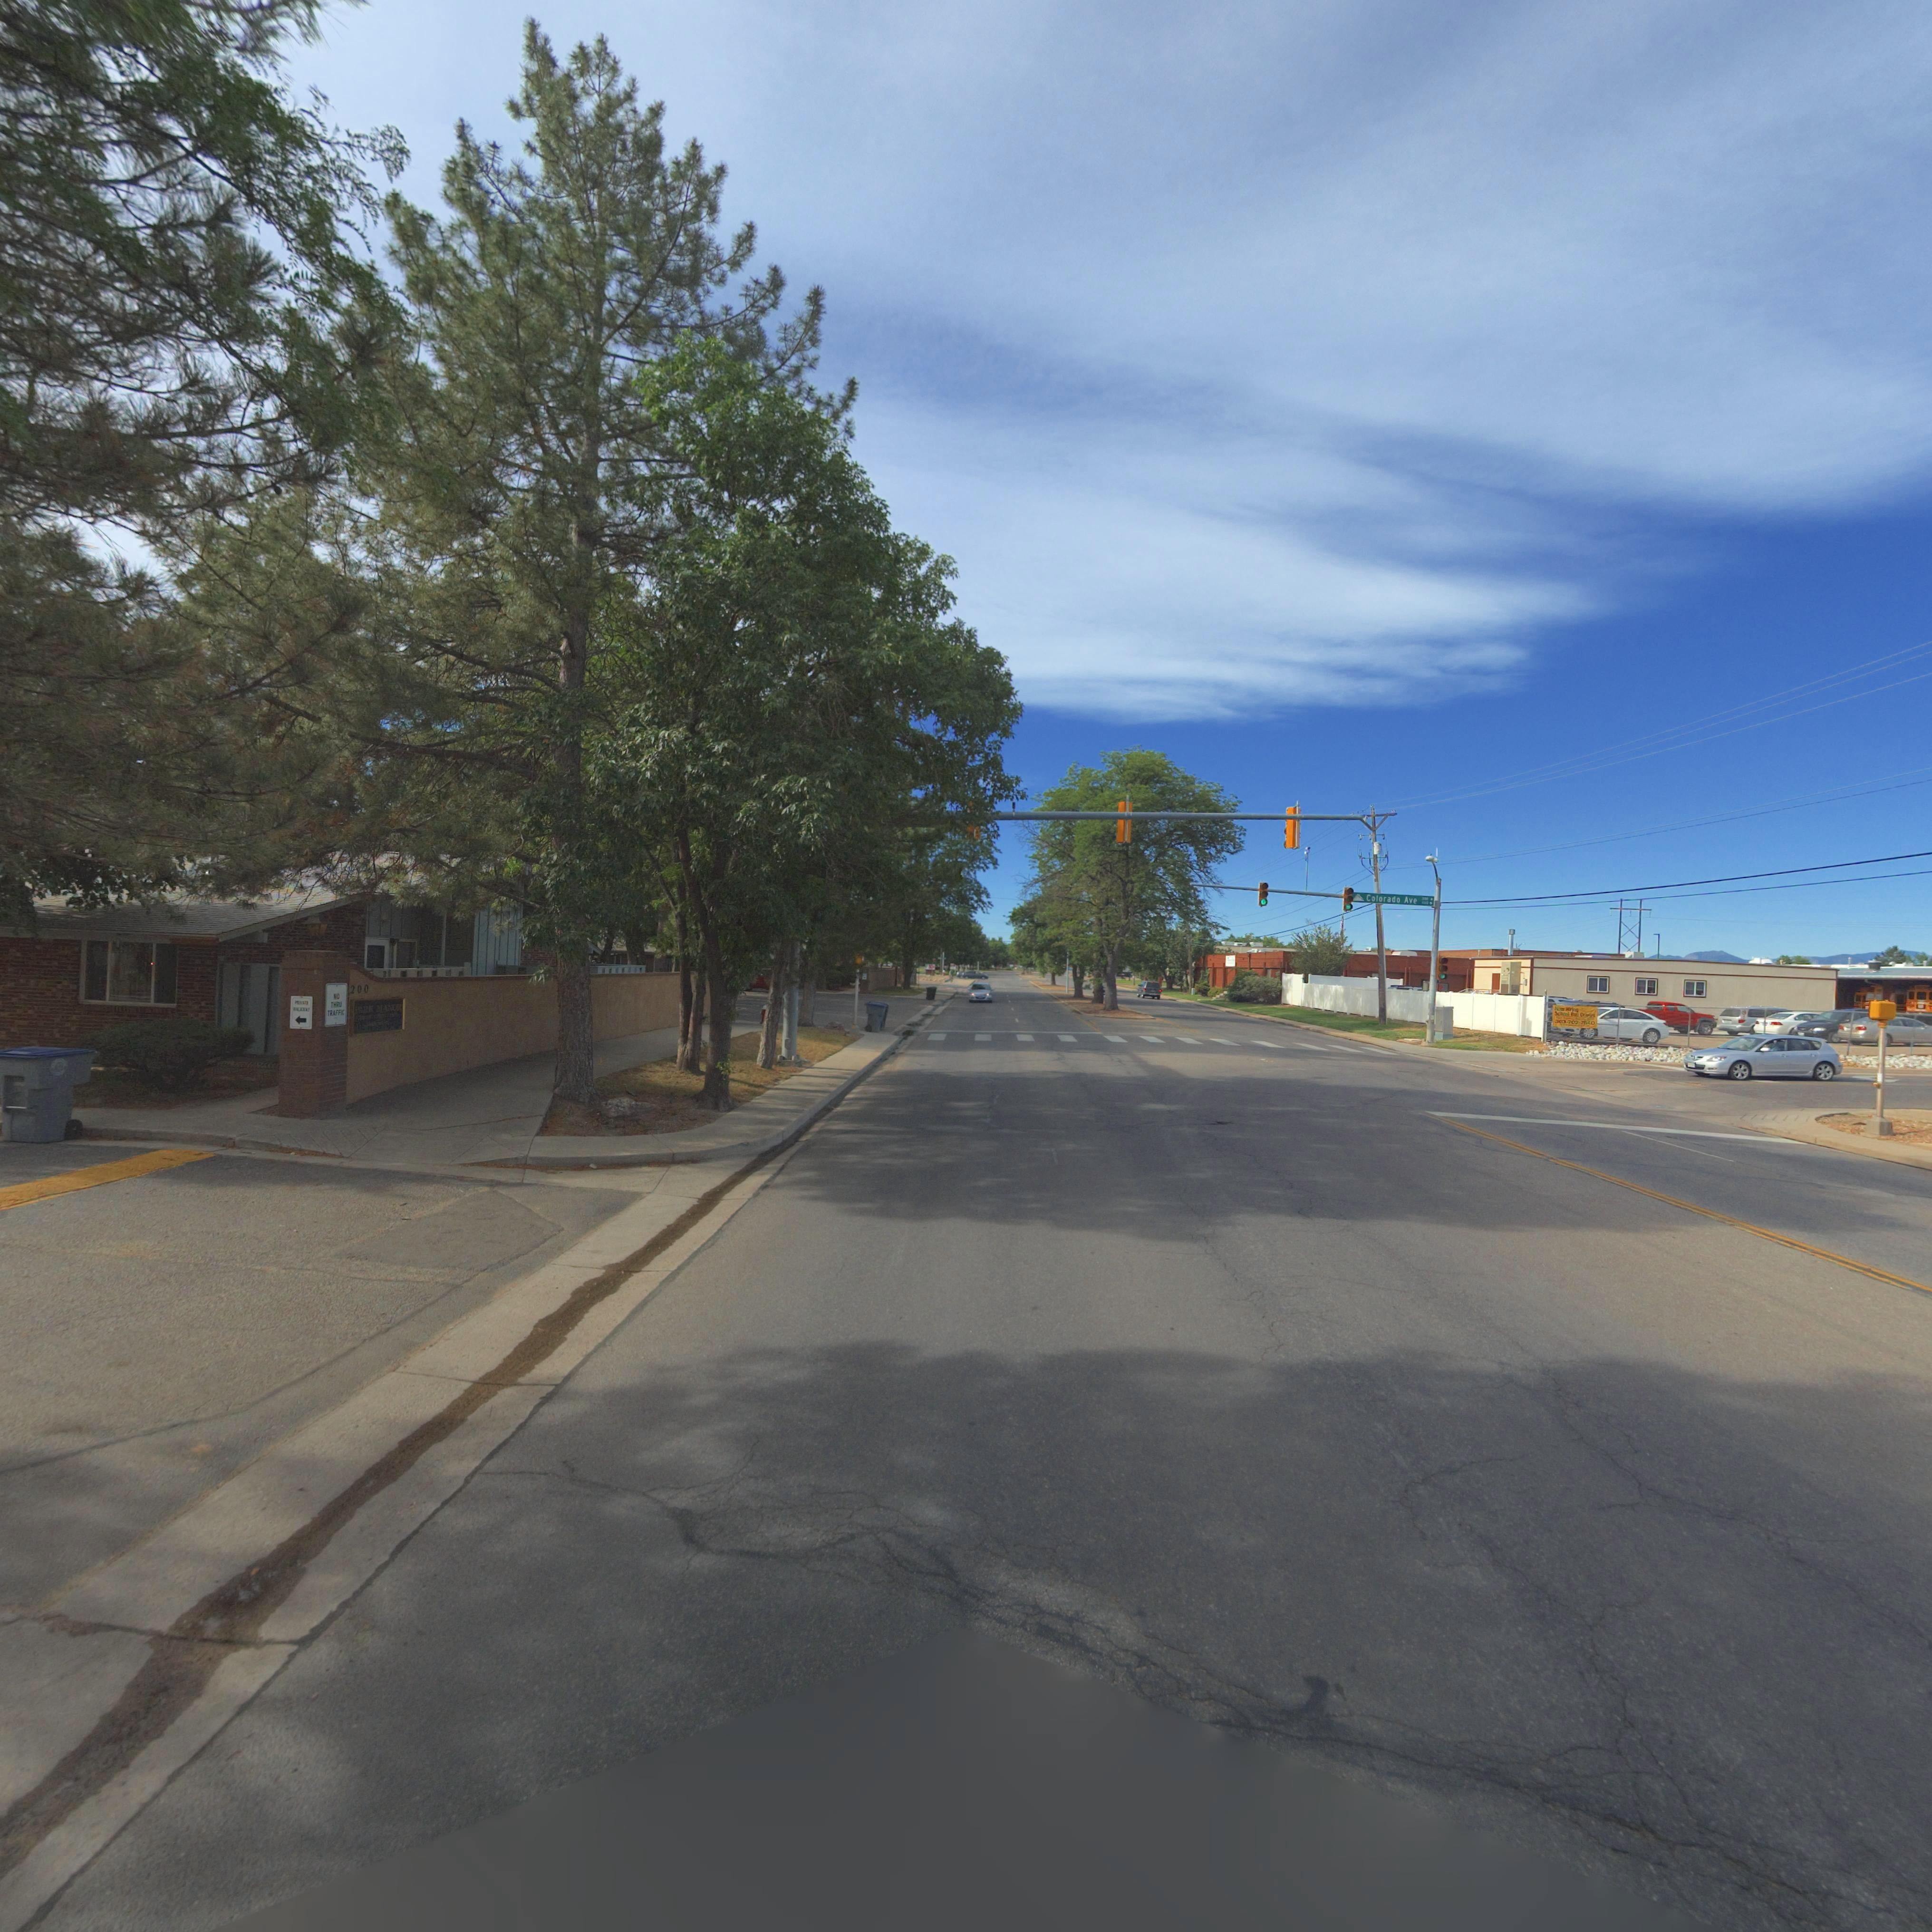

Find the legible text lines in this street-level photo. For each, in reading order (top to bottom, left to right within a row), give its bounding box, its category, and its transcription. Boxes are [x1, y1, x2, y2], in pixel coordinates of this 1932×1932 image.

[1366, 894, 1417, 904] BusinessName: Colorado Ave
[1421, 897, 1429, 901] StreetNumberRange: *00
[349, 984, 369, 994] StreetNumber: 200